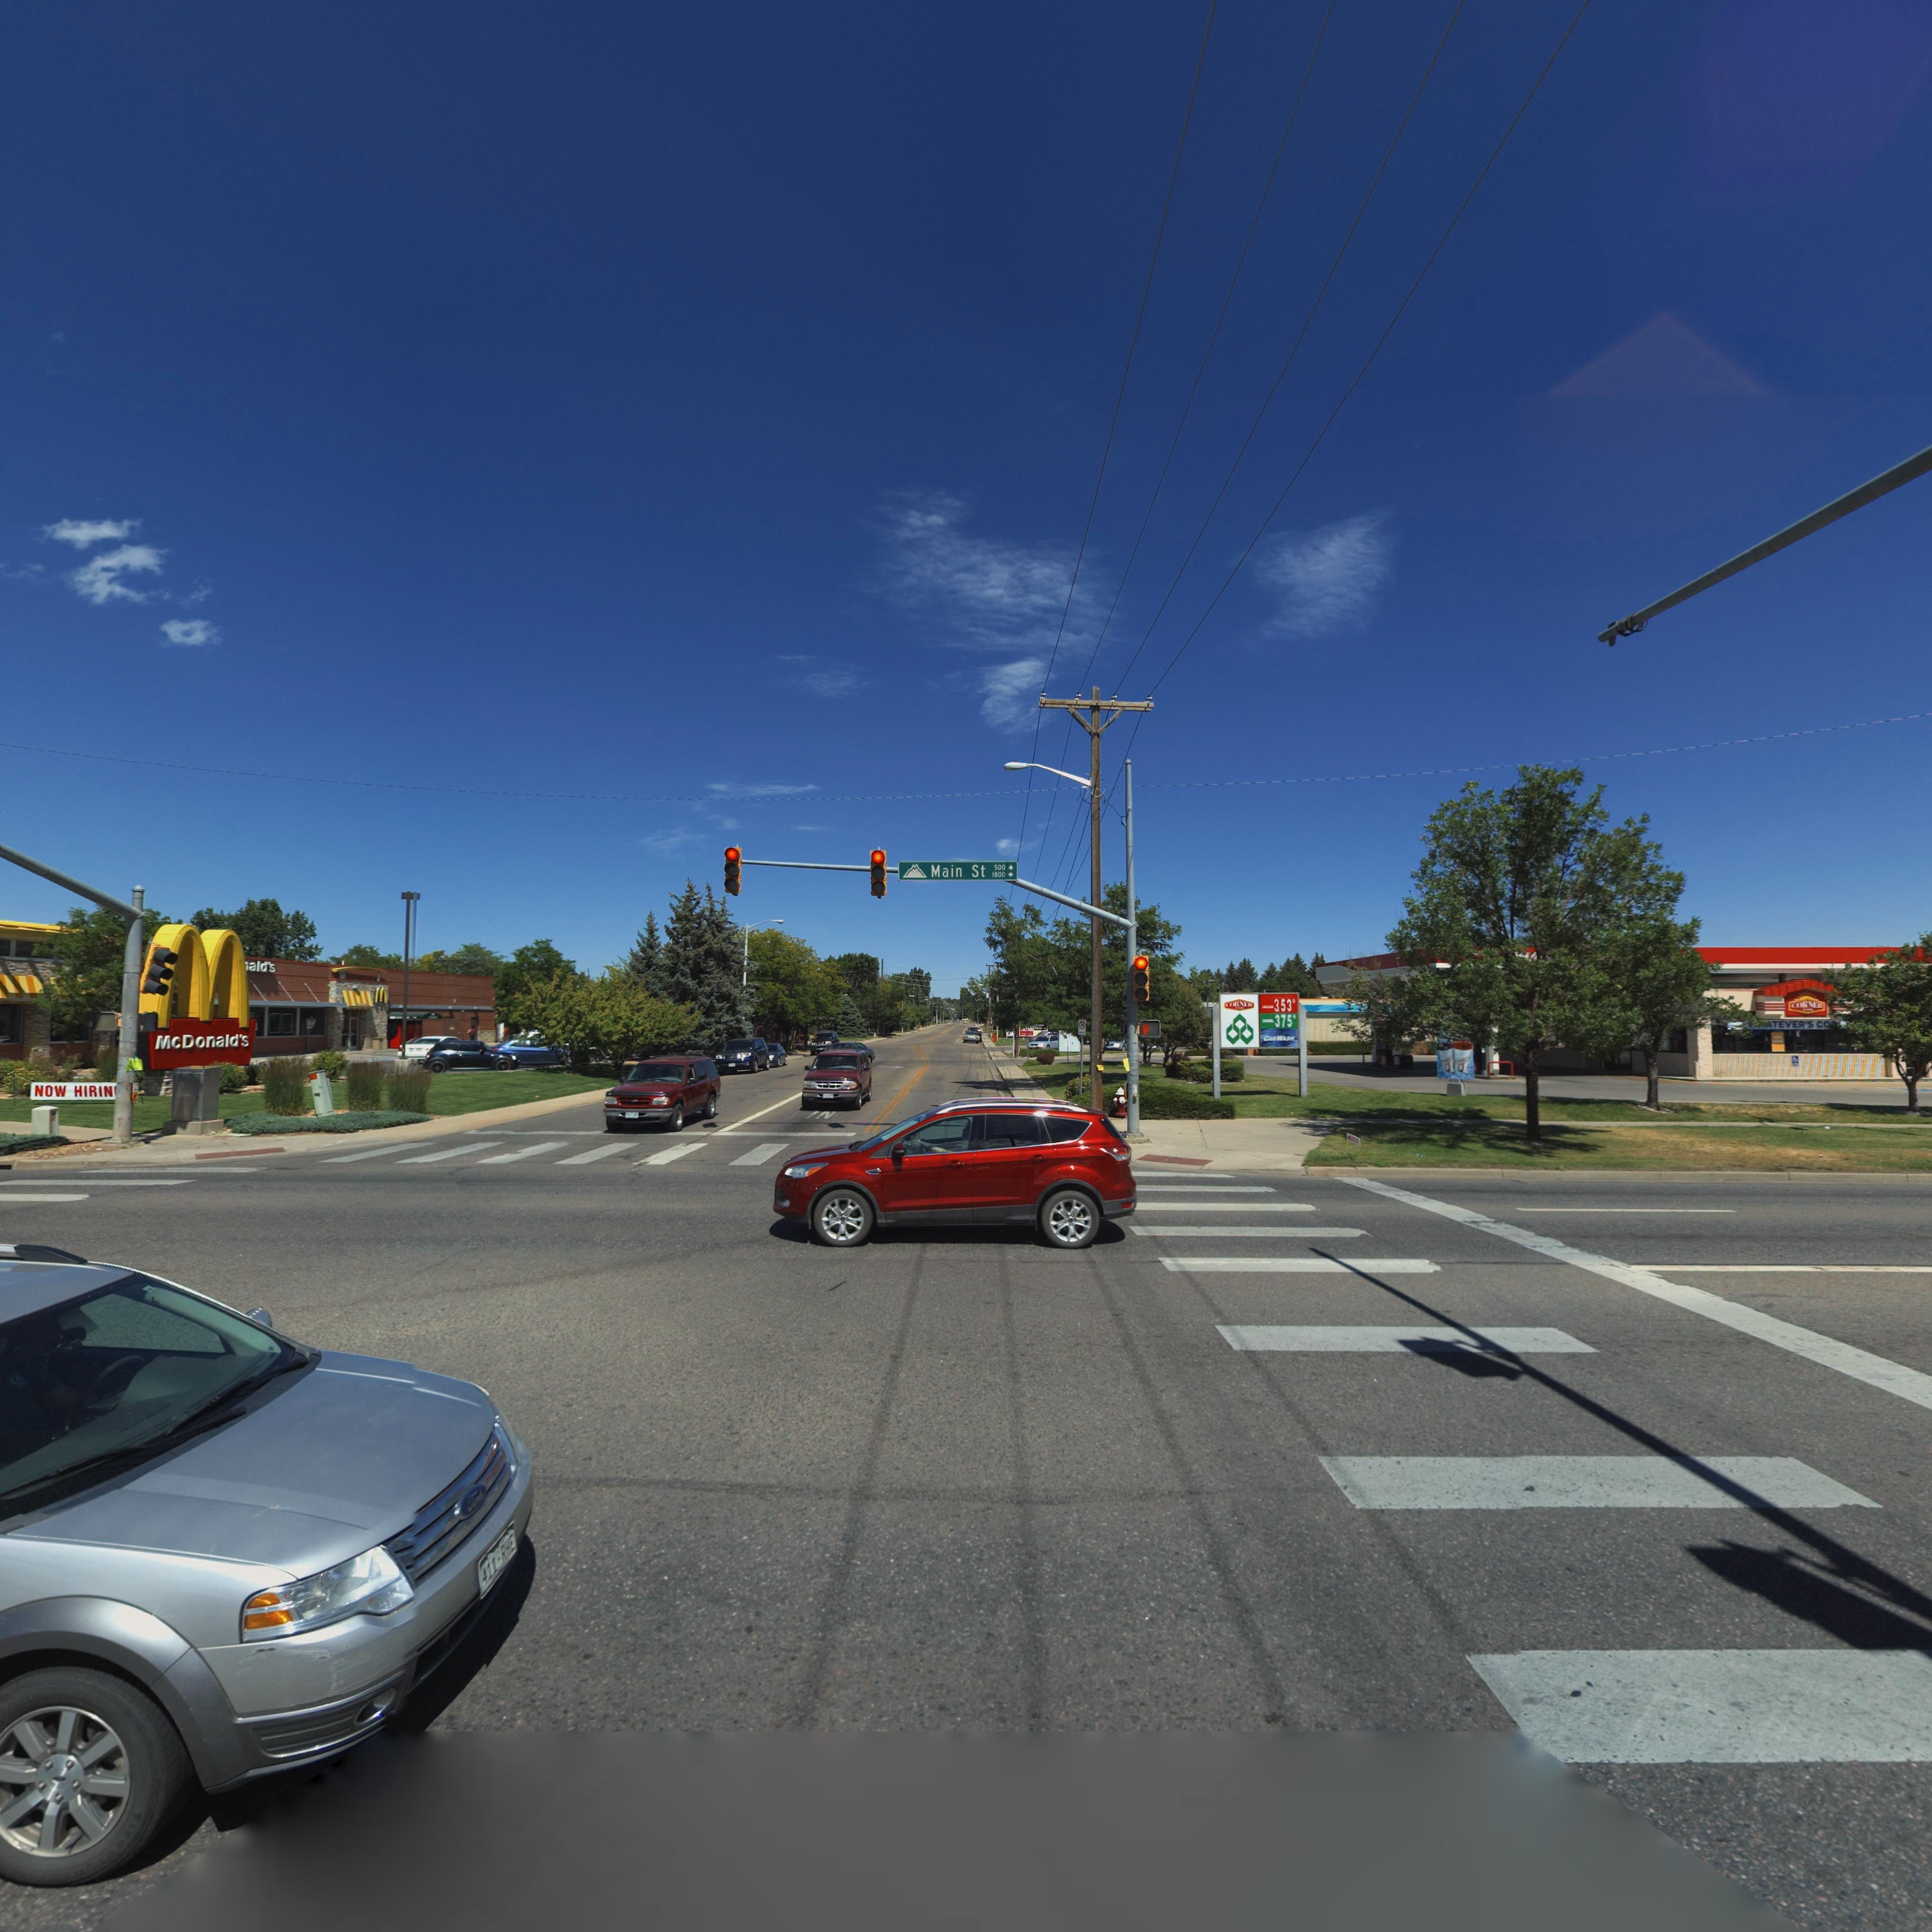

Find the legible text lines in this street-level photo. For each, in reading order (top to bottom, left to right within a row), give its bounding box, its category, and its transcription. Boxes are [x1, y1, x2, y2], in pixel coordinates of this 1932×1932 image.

[930, 864, 985, 878] StreetName: Main St
[994, 864, 1005, 870] StreetNumberRange: 500
[991, 871, 1014, 877] StreetNumberRange: 1800 ->
[248, 959, 276, 974] BusinessName: ald's
[1225, 1000, 1253, 1007] BusinessName: CORNER
[1791, 999, 1823, 1008] BusinessName: CORNE*
[154, 1034, 249, 1049] BusinessName: McDonald's